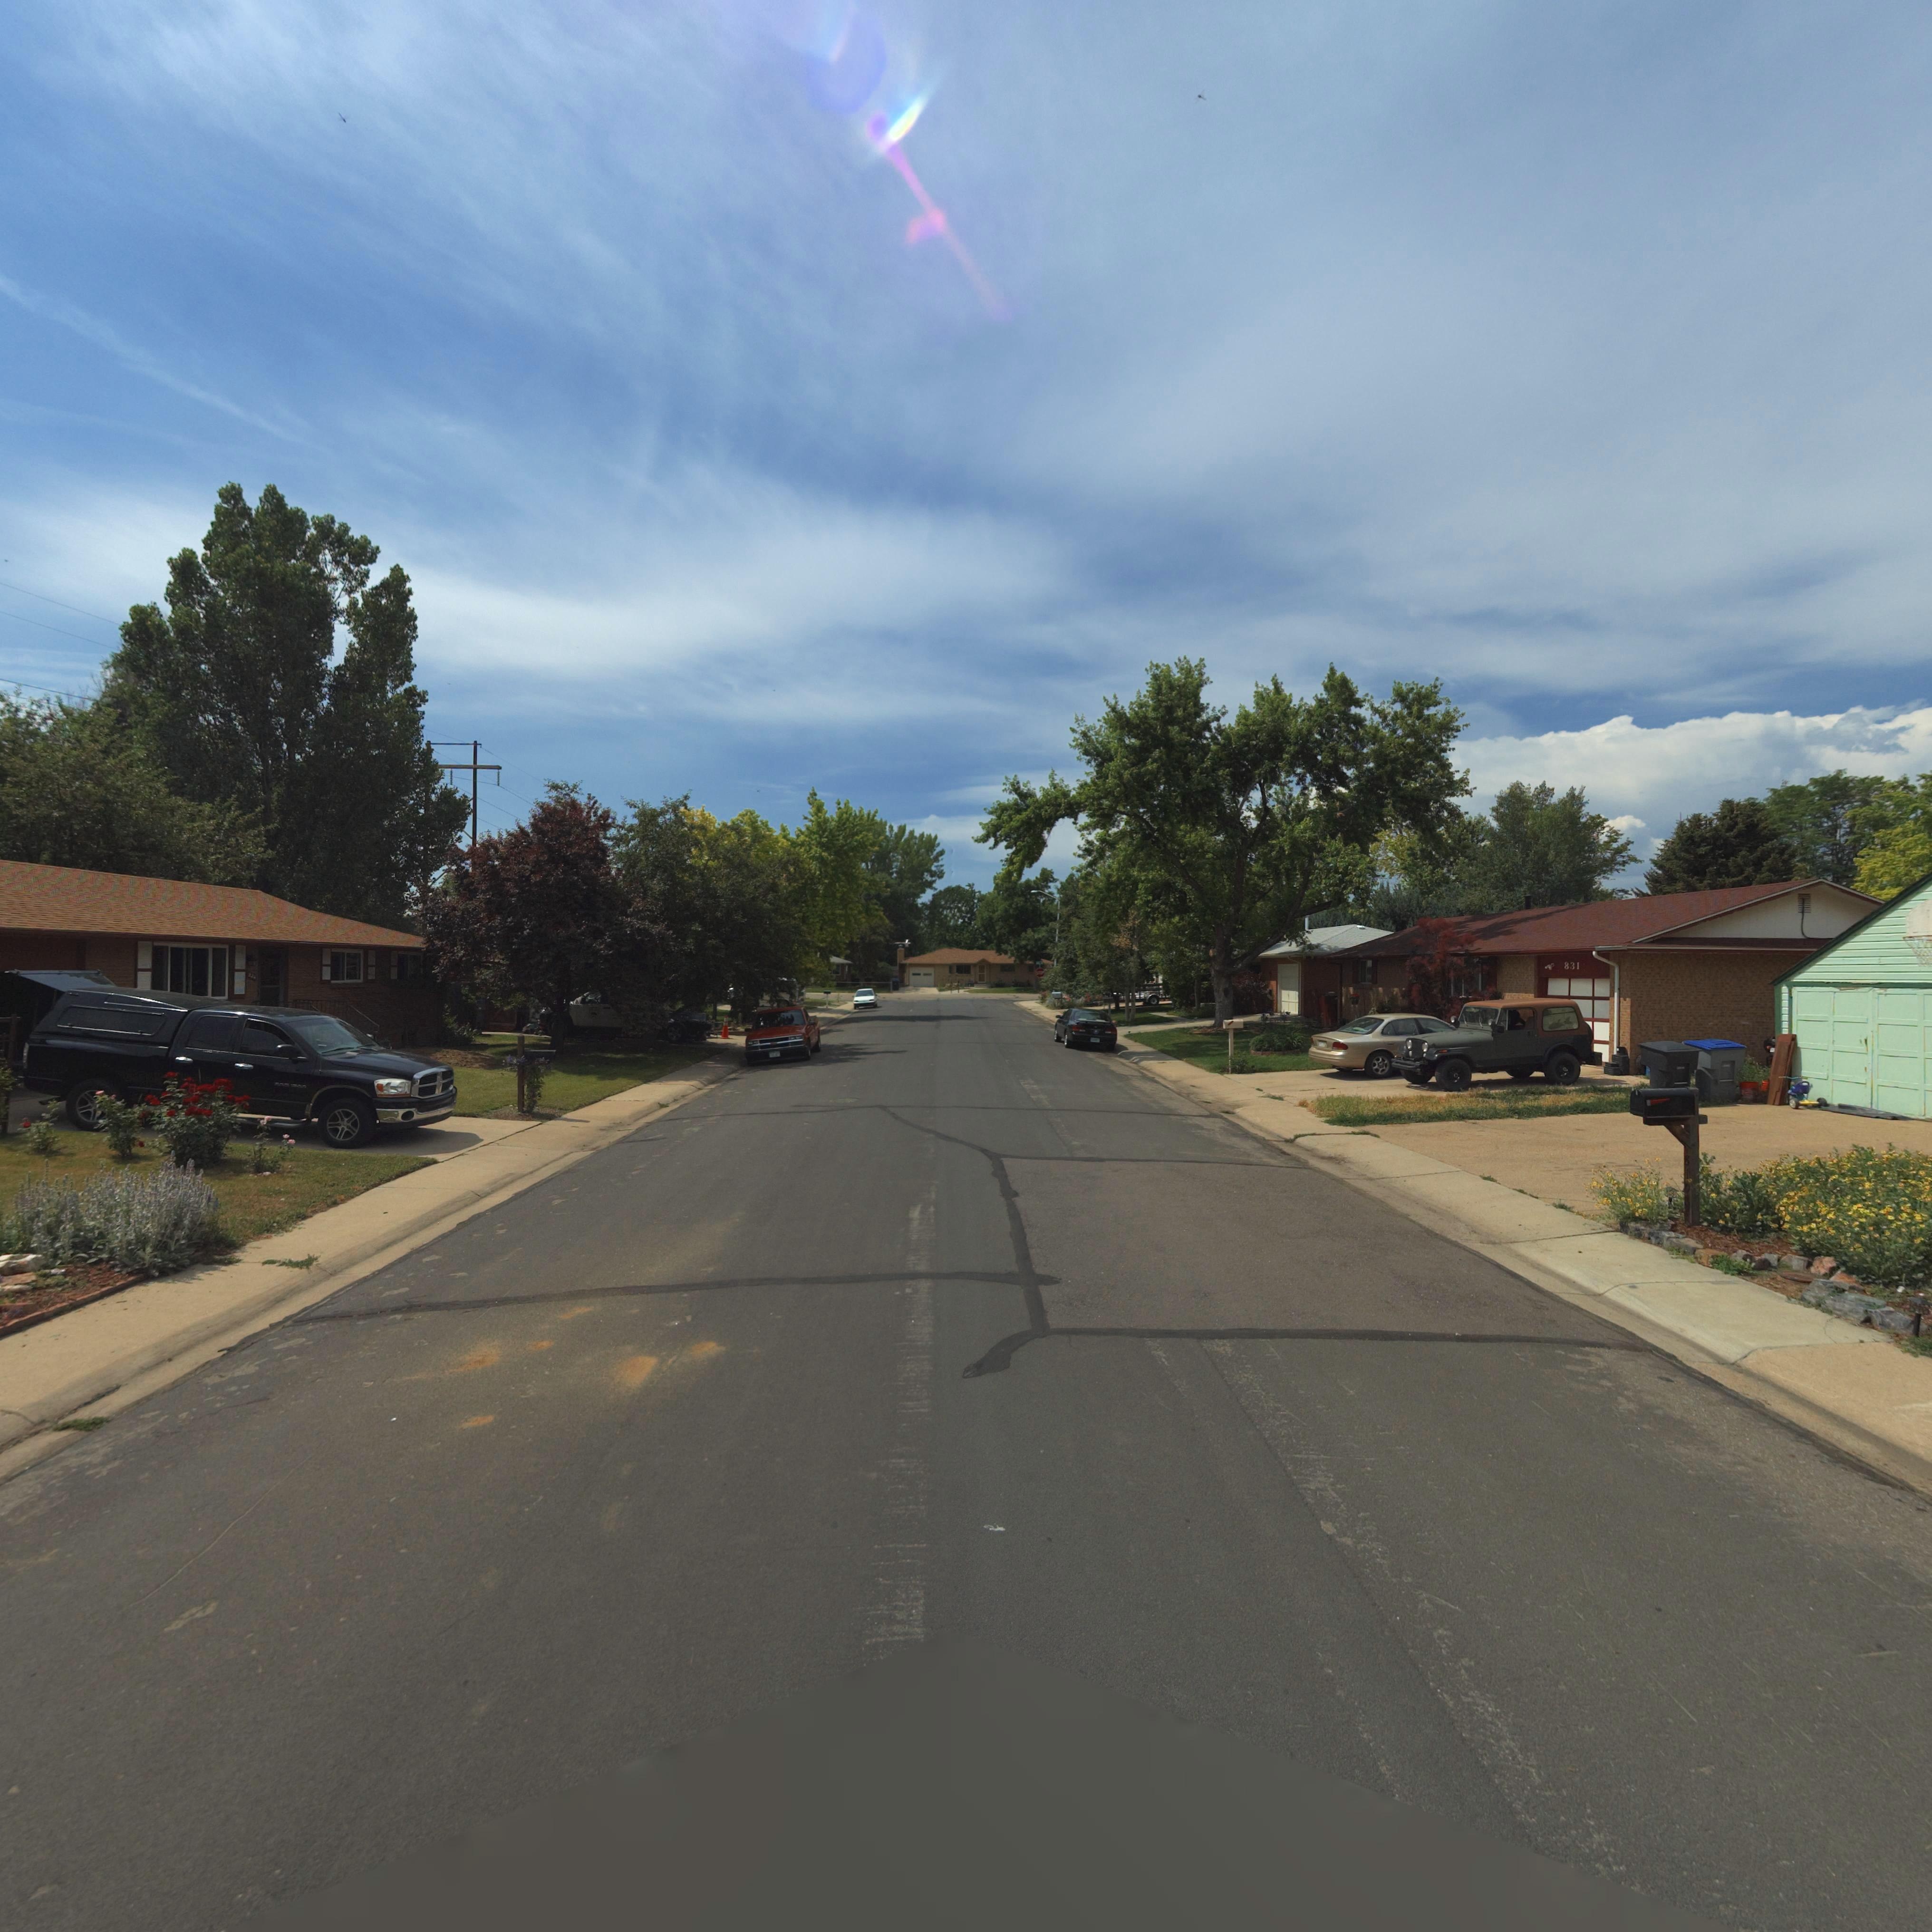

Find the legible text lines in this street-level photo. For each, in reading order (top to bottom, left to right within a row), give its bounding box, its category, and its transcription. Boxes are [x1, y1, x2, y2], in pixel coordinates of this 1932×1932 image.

[1563, 961, 1579, 970] StreetNumber: 831
[248, 972, 256, 979] StreetNumber: 824